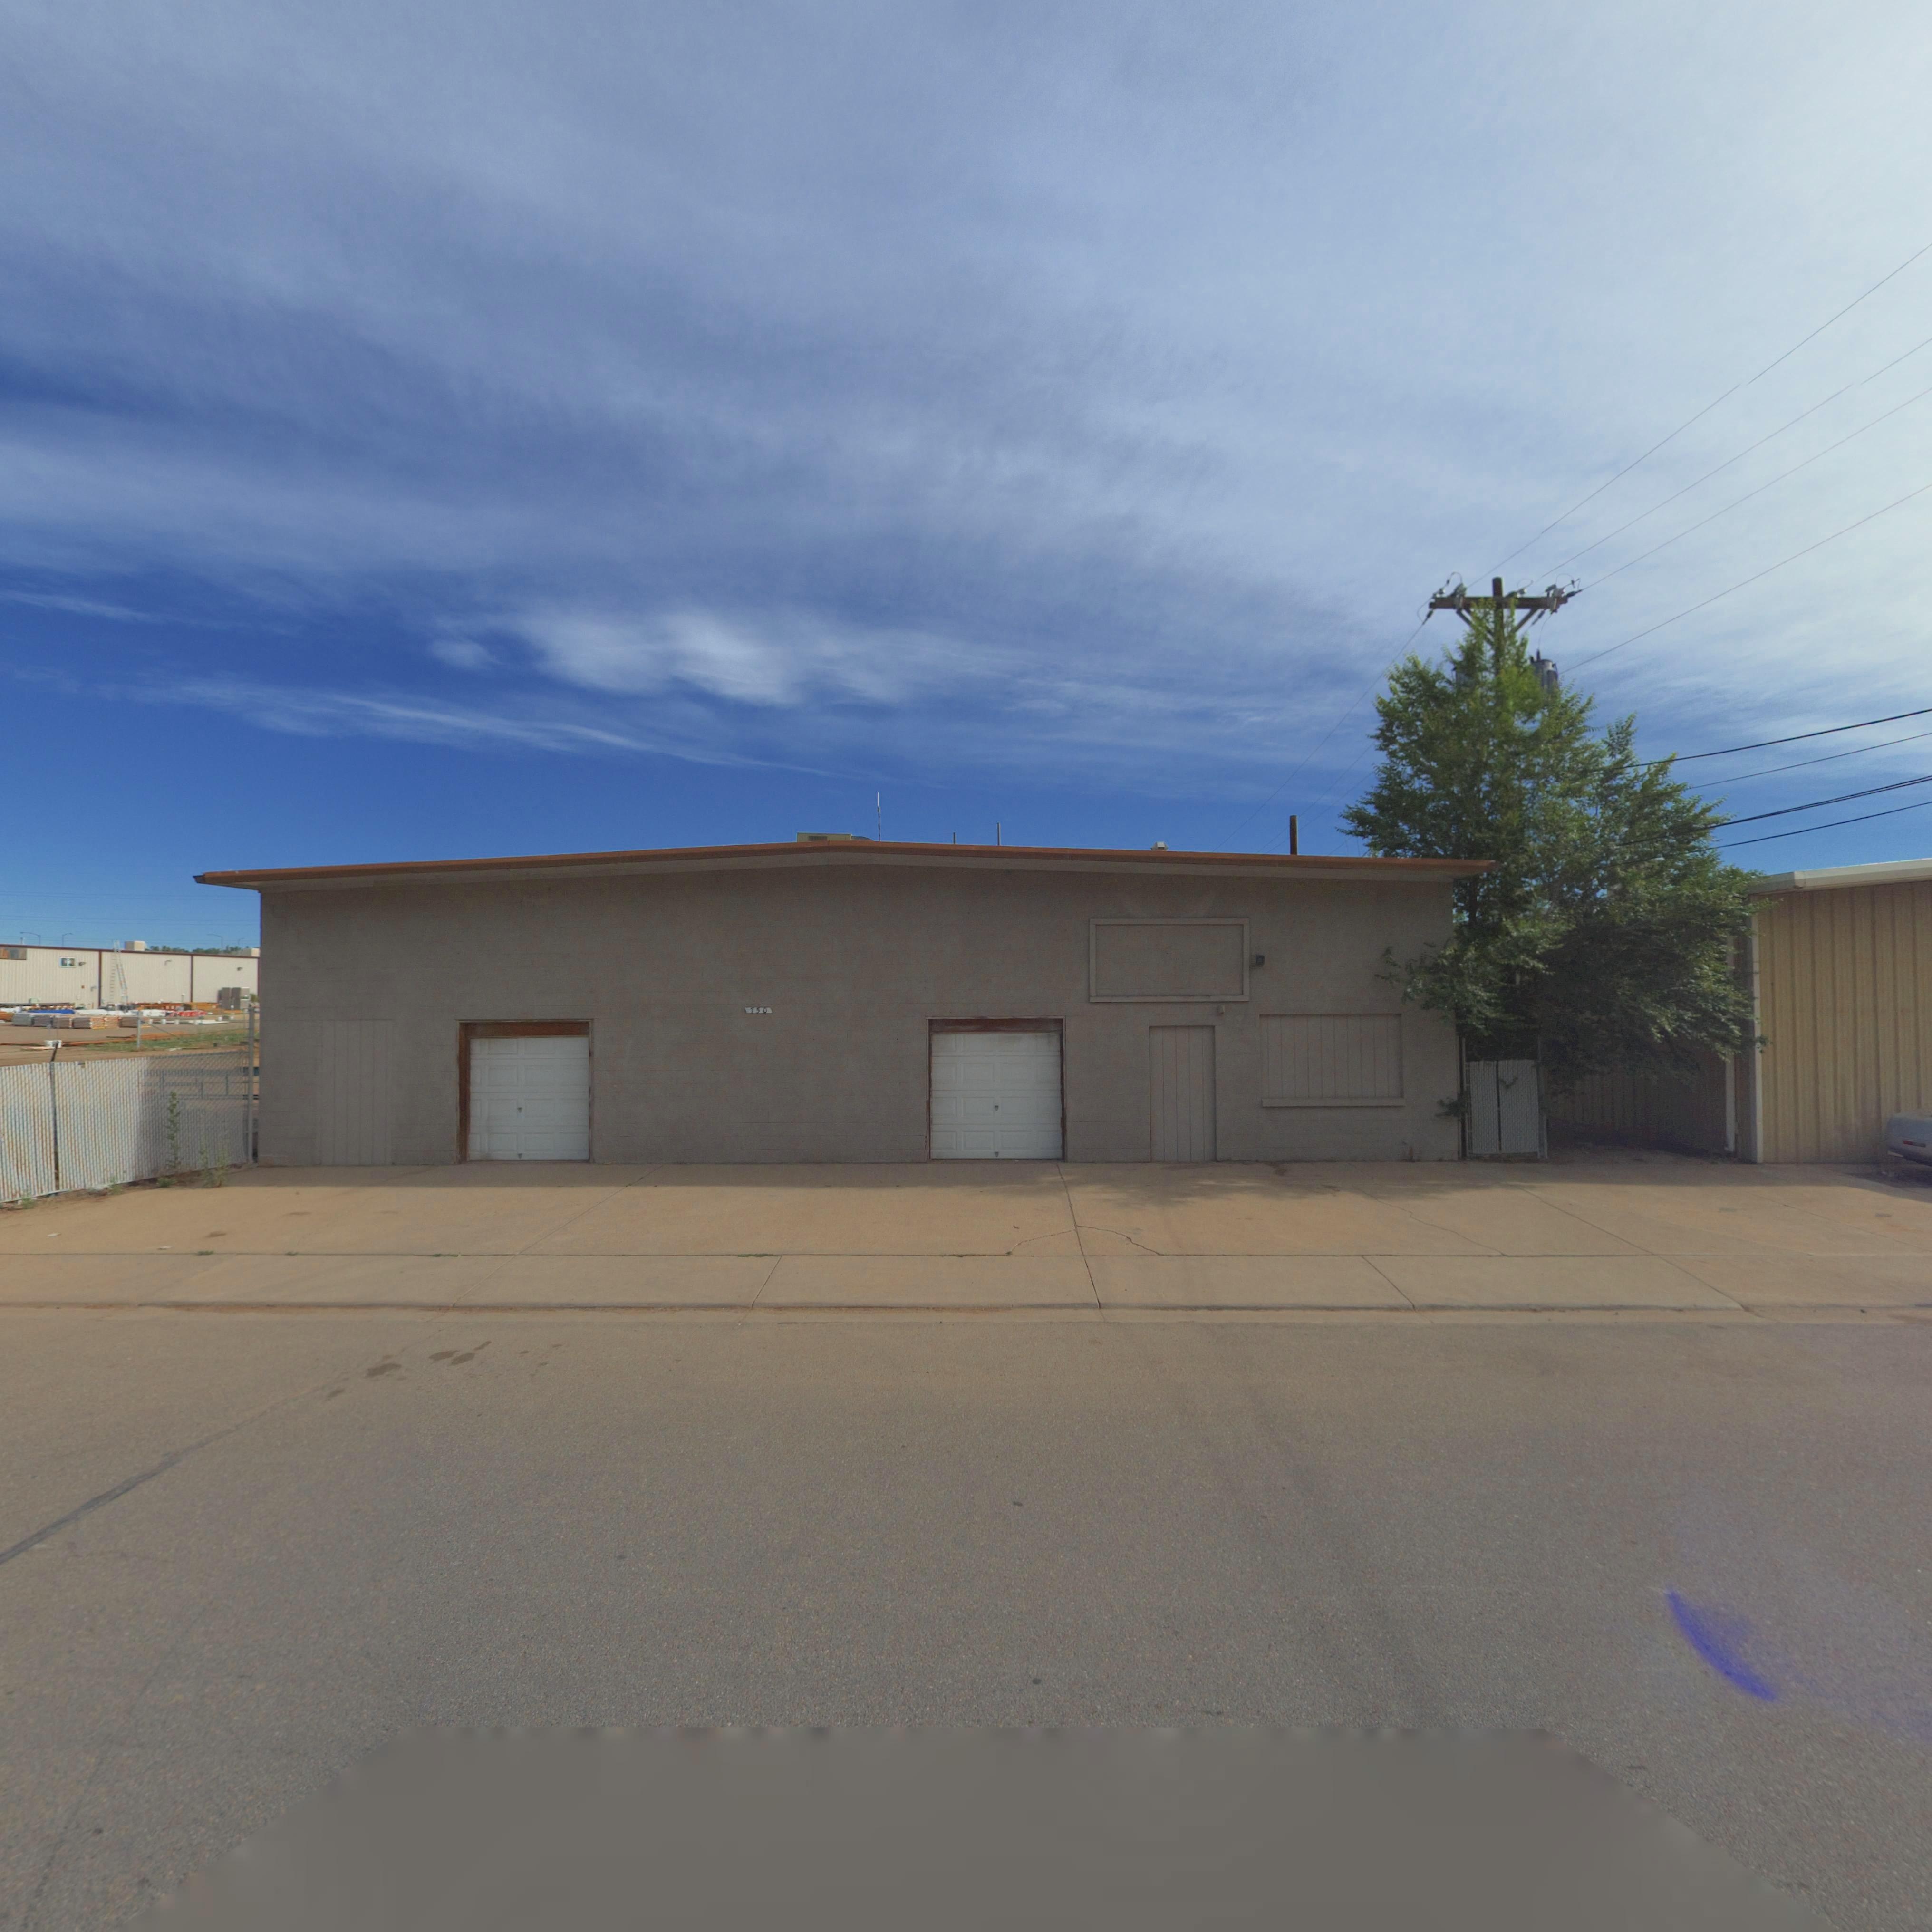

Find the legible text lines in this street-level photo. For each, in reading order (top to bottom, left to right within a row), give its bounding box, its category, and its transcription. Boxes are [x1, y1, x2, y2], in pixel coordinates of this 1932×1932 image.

[750, 1006, 767, 1013] StreetNumber: 150